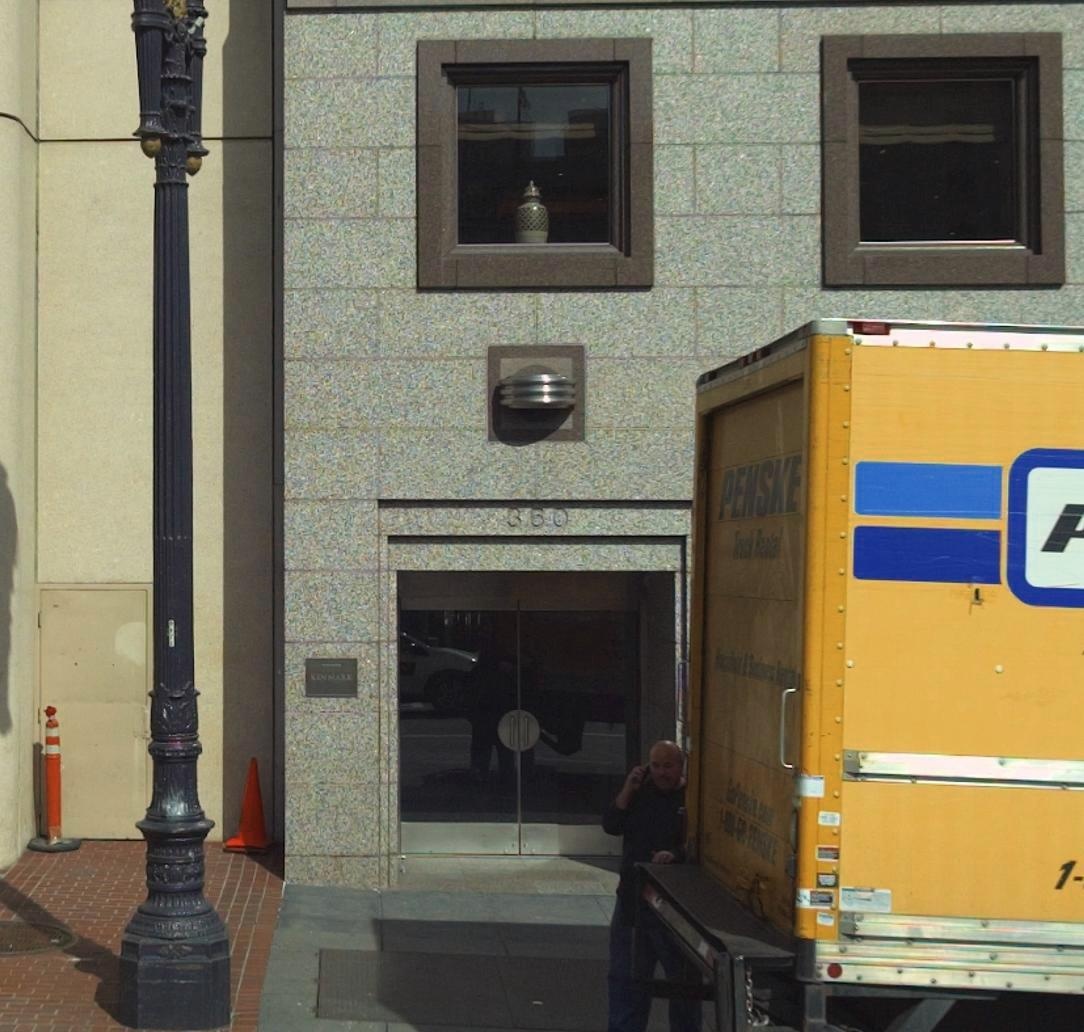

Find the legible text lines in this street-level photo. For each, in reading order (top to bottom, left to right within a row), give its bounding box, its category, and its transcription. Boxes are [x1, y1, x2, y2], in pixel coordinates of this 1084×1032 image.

[713, 447, 807, 524] BusinessName: PENSKE
[502, 504, 573, 529] StreetNumber: 360
[728, 523, 788, 563] BusinessName: Truck Rental
[314, 672, 353, 682] None: ENM*RE
[717, 803, 783, 872] None: 1-800-GO-*E****E
[1050, 852, 1082, 895] None: 1